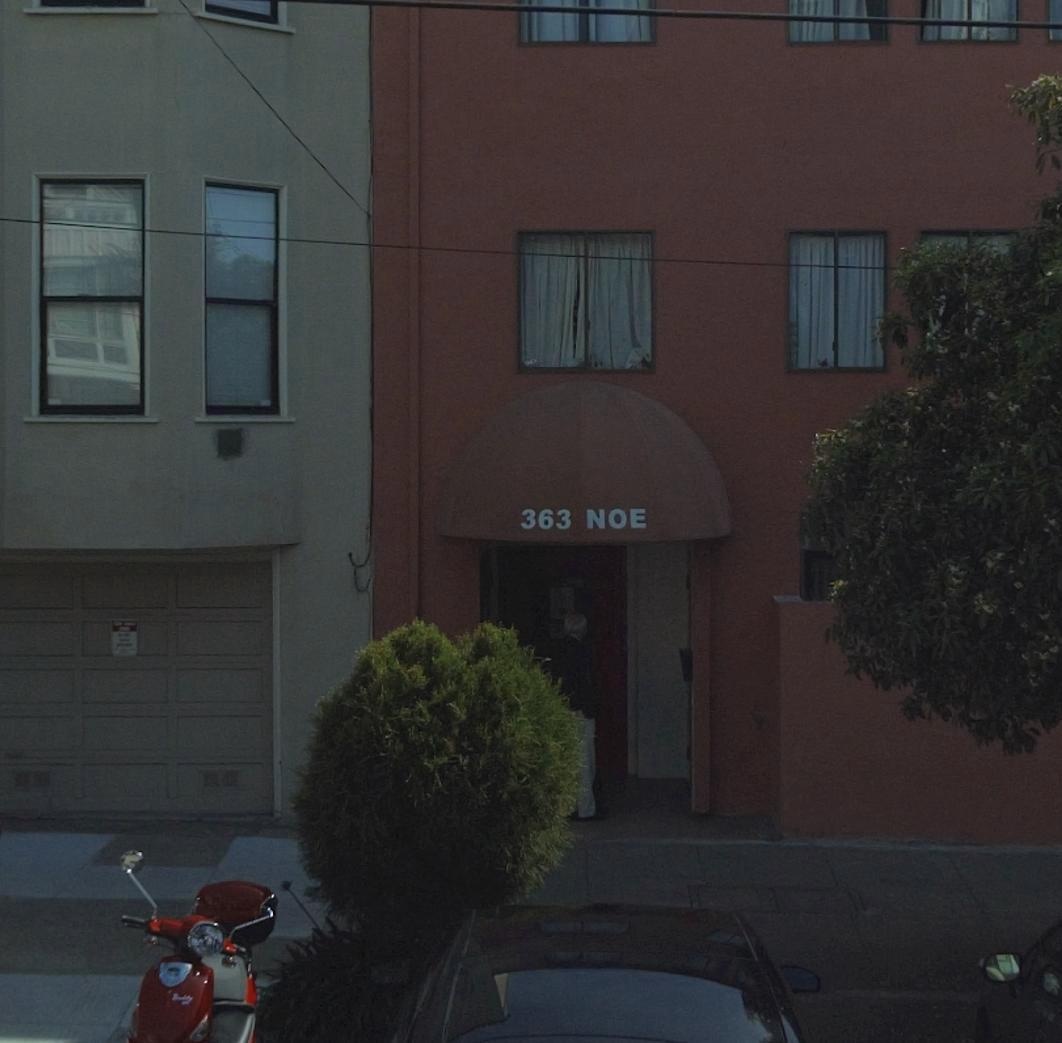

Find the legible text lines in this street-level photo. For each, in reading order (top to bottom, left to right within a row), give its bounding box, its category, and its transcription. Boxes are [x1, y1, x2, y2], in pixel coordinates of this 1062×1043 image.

[519, 507, 572, 531] StreetNumber: 363
[584, 507, 647, 530] StreetName: NOE